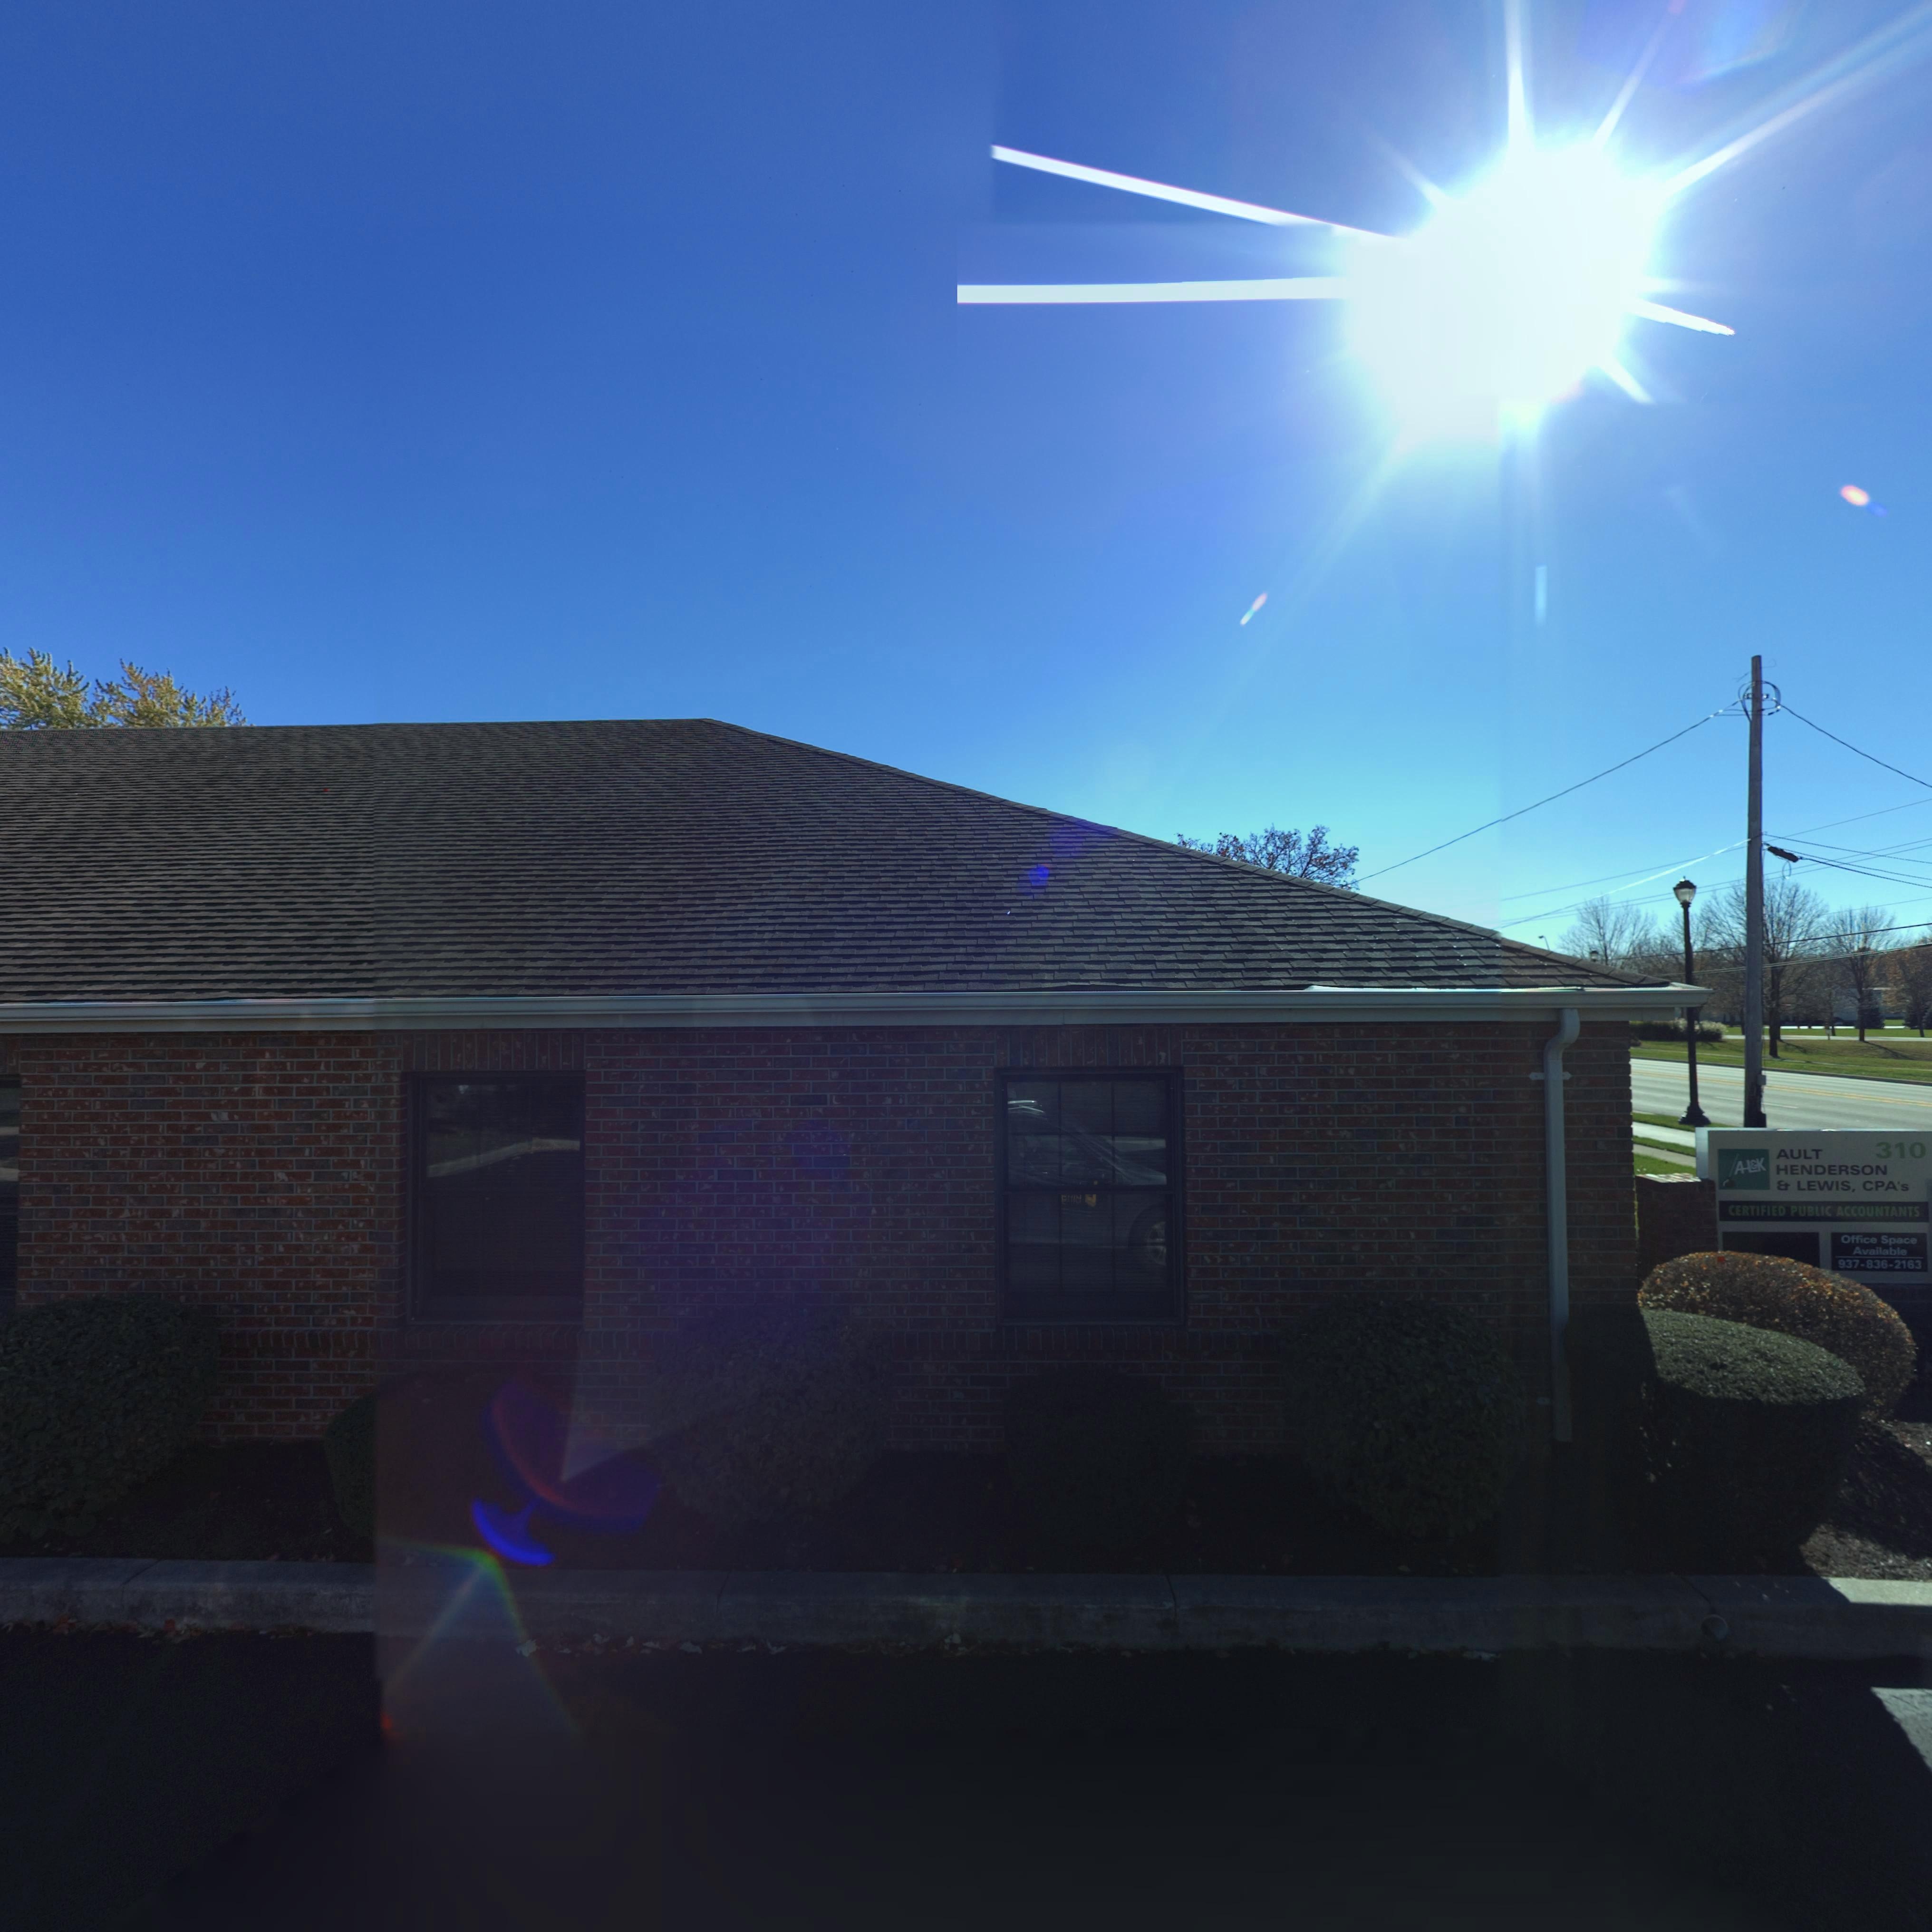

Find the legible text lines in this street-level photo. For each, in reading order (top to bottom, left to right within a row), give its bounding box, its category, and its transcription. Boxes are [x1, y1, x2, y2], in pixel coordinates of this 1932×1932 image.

[1775, 1148, 1824, 1160] BusinessName: AULT
[1874, 1140, 1928, 1161] StreetNumber: 310
[1732, 1156, 1767, 1177] None: A-L&K
[1775, 1163, 1888, 1177] BusinessName: HENDERSON
[1776, 1179, 1910, 1193] BusinessName: & LEWIS, CPA's
[1727, 1204, 1921, 1218] None: CERTIFIED PUBLIC ACCOUNTANTS
[1840, 1234, 1919, 1247] None: Office Space
[1851, 1246, 1908, 1256] None: Available
[1837, 1259, 1922, 1270] None: 937-836-2163